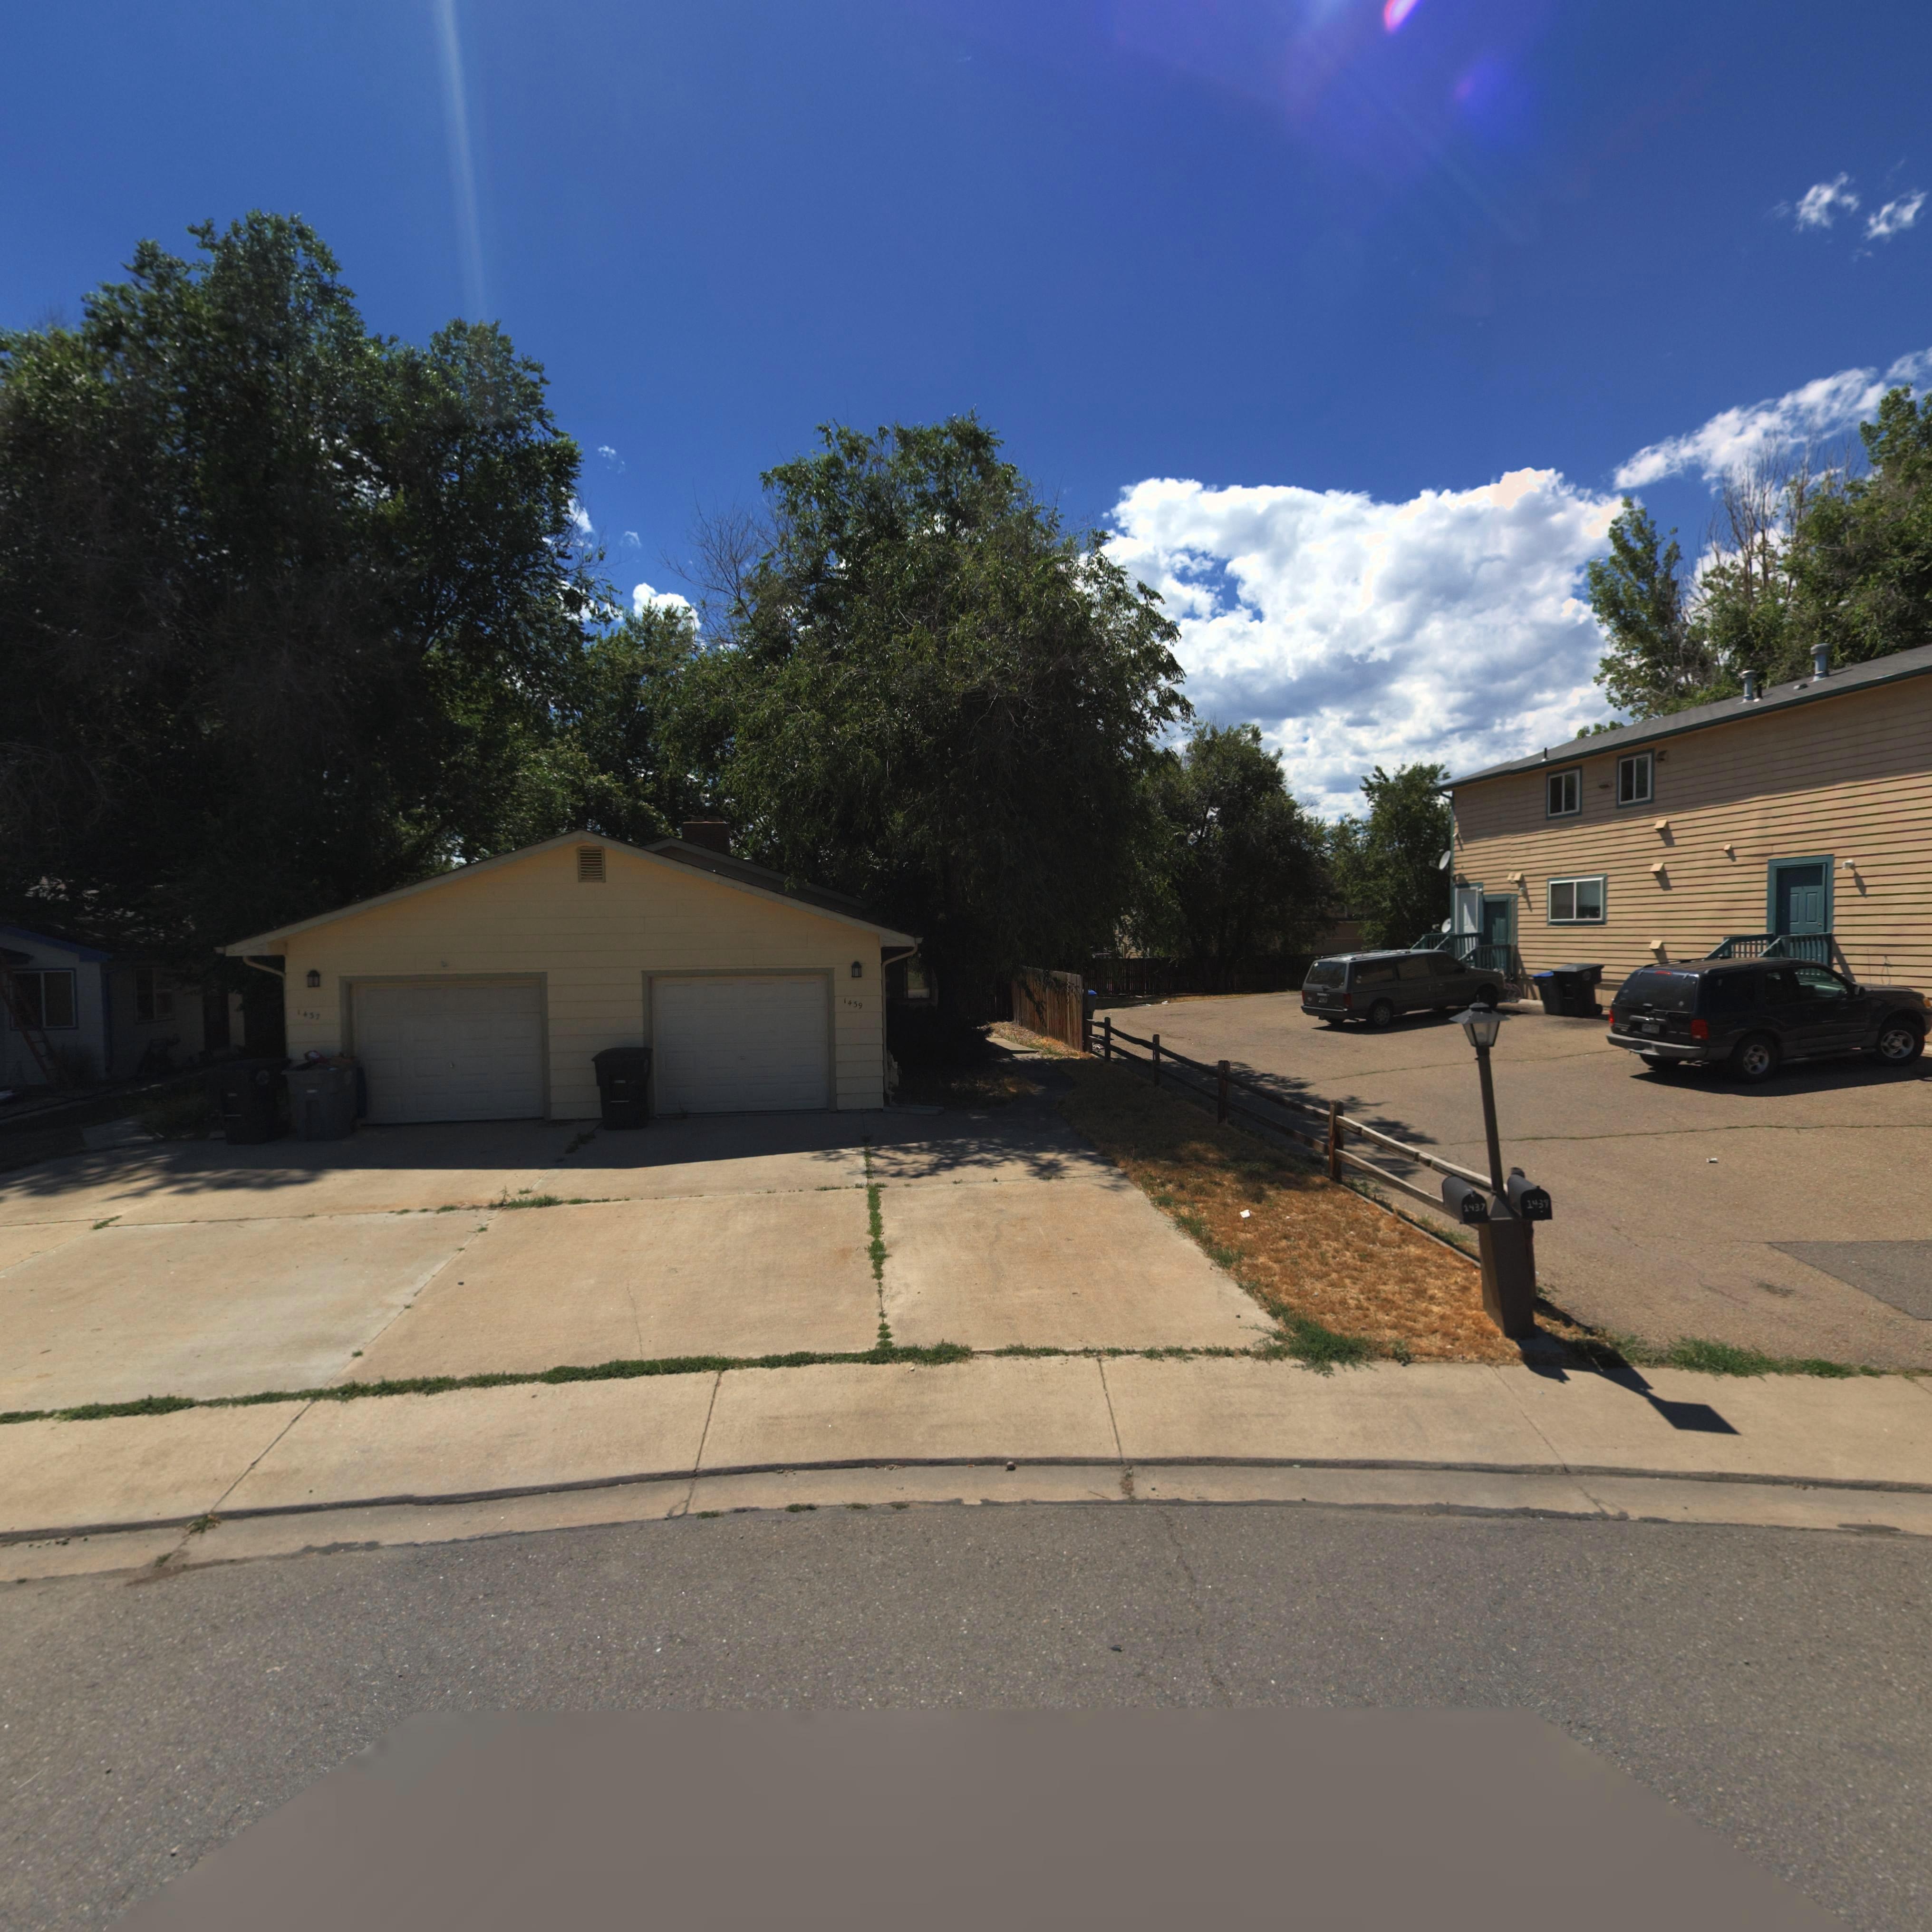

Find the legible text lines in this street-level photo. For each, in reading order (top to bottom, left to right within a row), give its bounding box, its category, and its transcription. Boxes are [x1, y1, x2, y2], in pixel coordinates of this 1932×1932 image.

[843, 997, 862, 1009] StreetNumber: 1439
[297, 1008, 320, 1021] StreetNumber: 1437
[1463, 1202, 1486, 1212] StreetNumber: 1437
[1526, 1198, 1549, 1209] StreetNumber: 1439